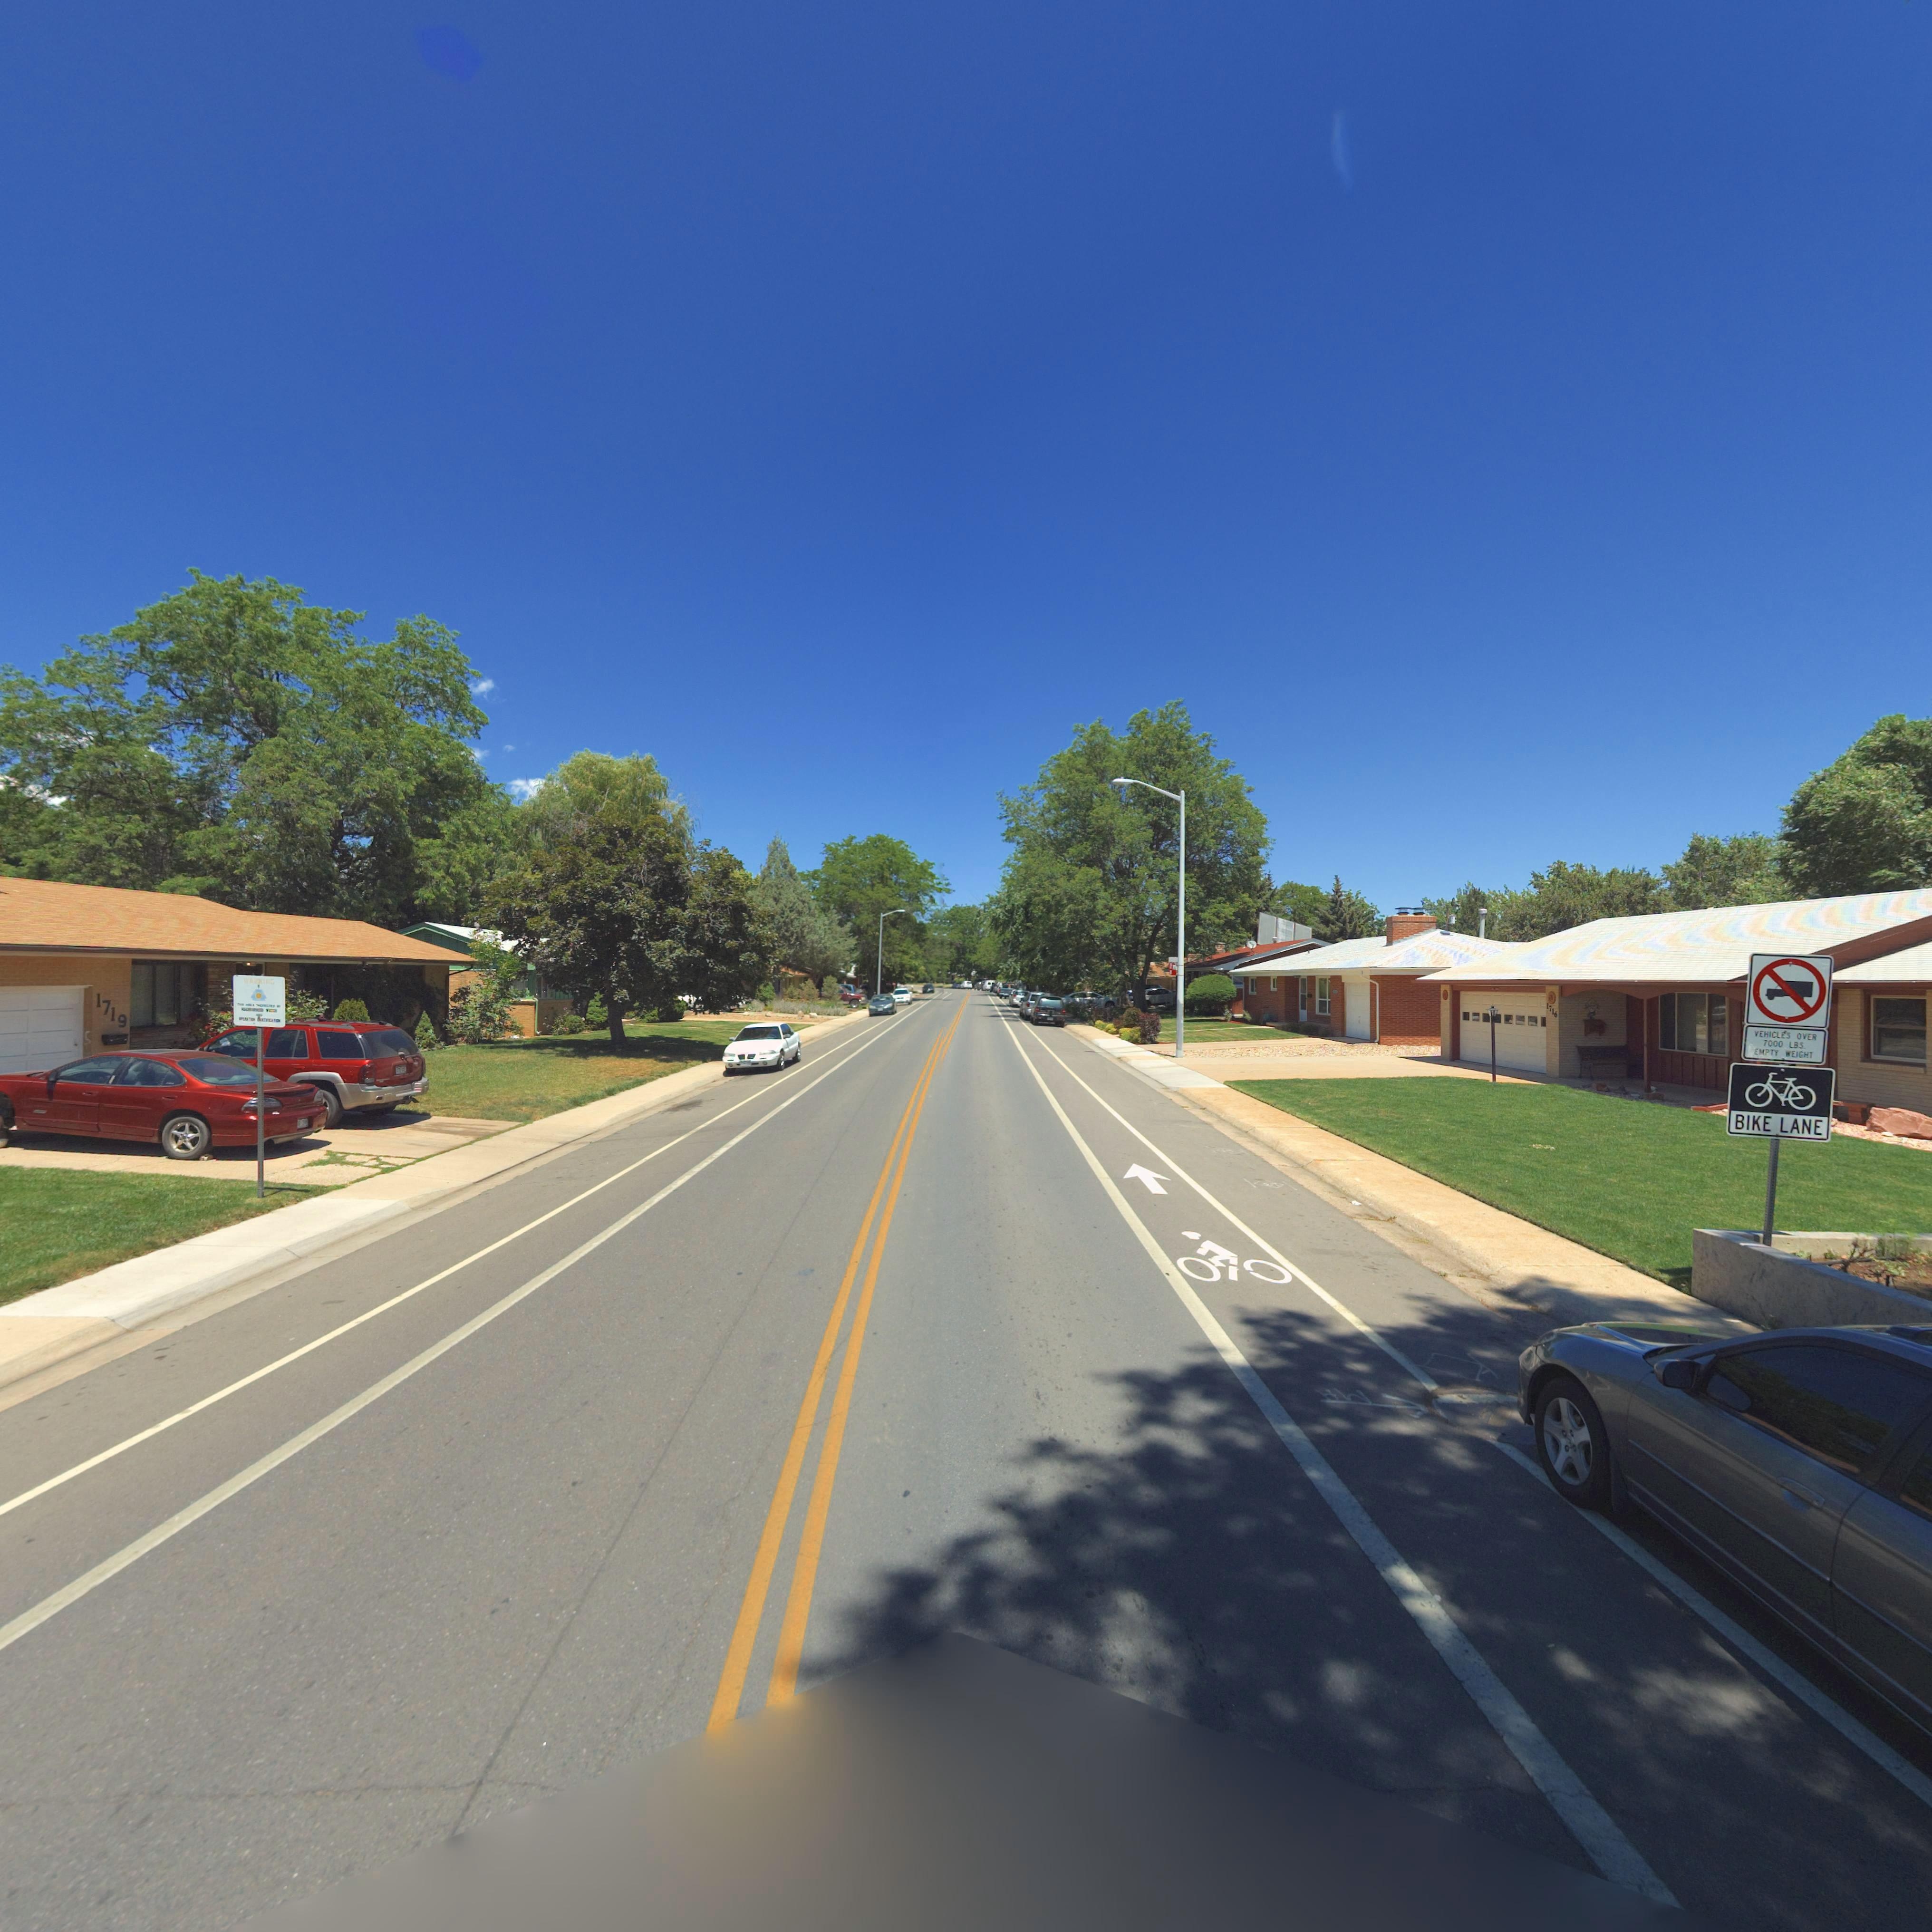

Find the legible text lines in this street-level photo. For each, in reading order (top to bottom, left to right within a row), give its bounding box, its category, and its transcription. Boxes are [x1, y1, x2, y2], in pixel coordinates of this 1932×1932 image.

[97, 993, 127, 1028] StreetNumber: 1719
[1546, 1002, 1557, 1018] StreetNumber: 1716